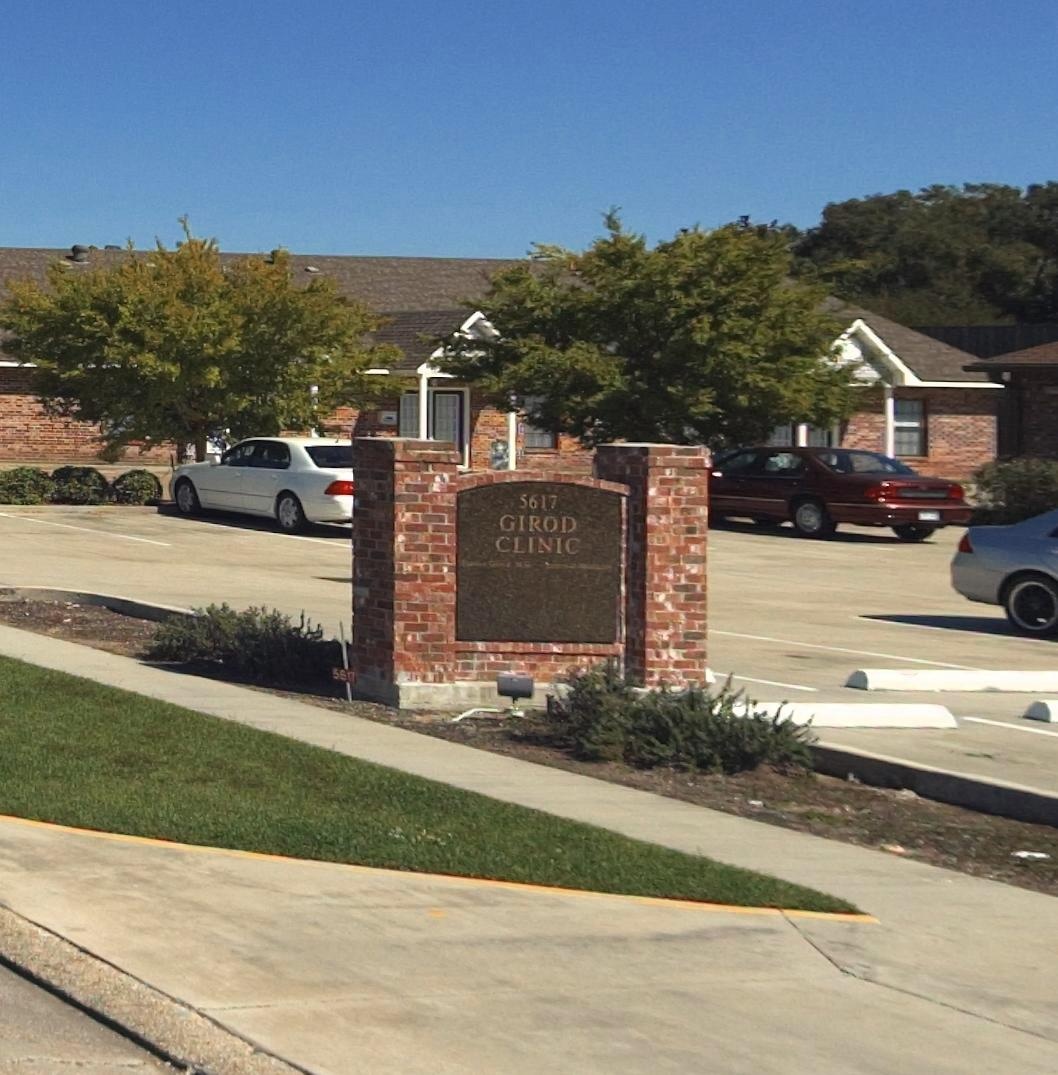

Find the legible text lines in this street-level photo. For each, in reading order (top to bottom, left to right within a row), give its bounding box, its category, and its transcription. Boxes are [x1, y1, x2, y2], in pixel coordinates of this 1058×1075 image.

[516, 490, 562, 513] StreetNumber: 5617
[497, 512, 580, 535] BusinessName: GIROD
[493, 533, 582, 557] BusinessName: CLINIC